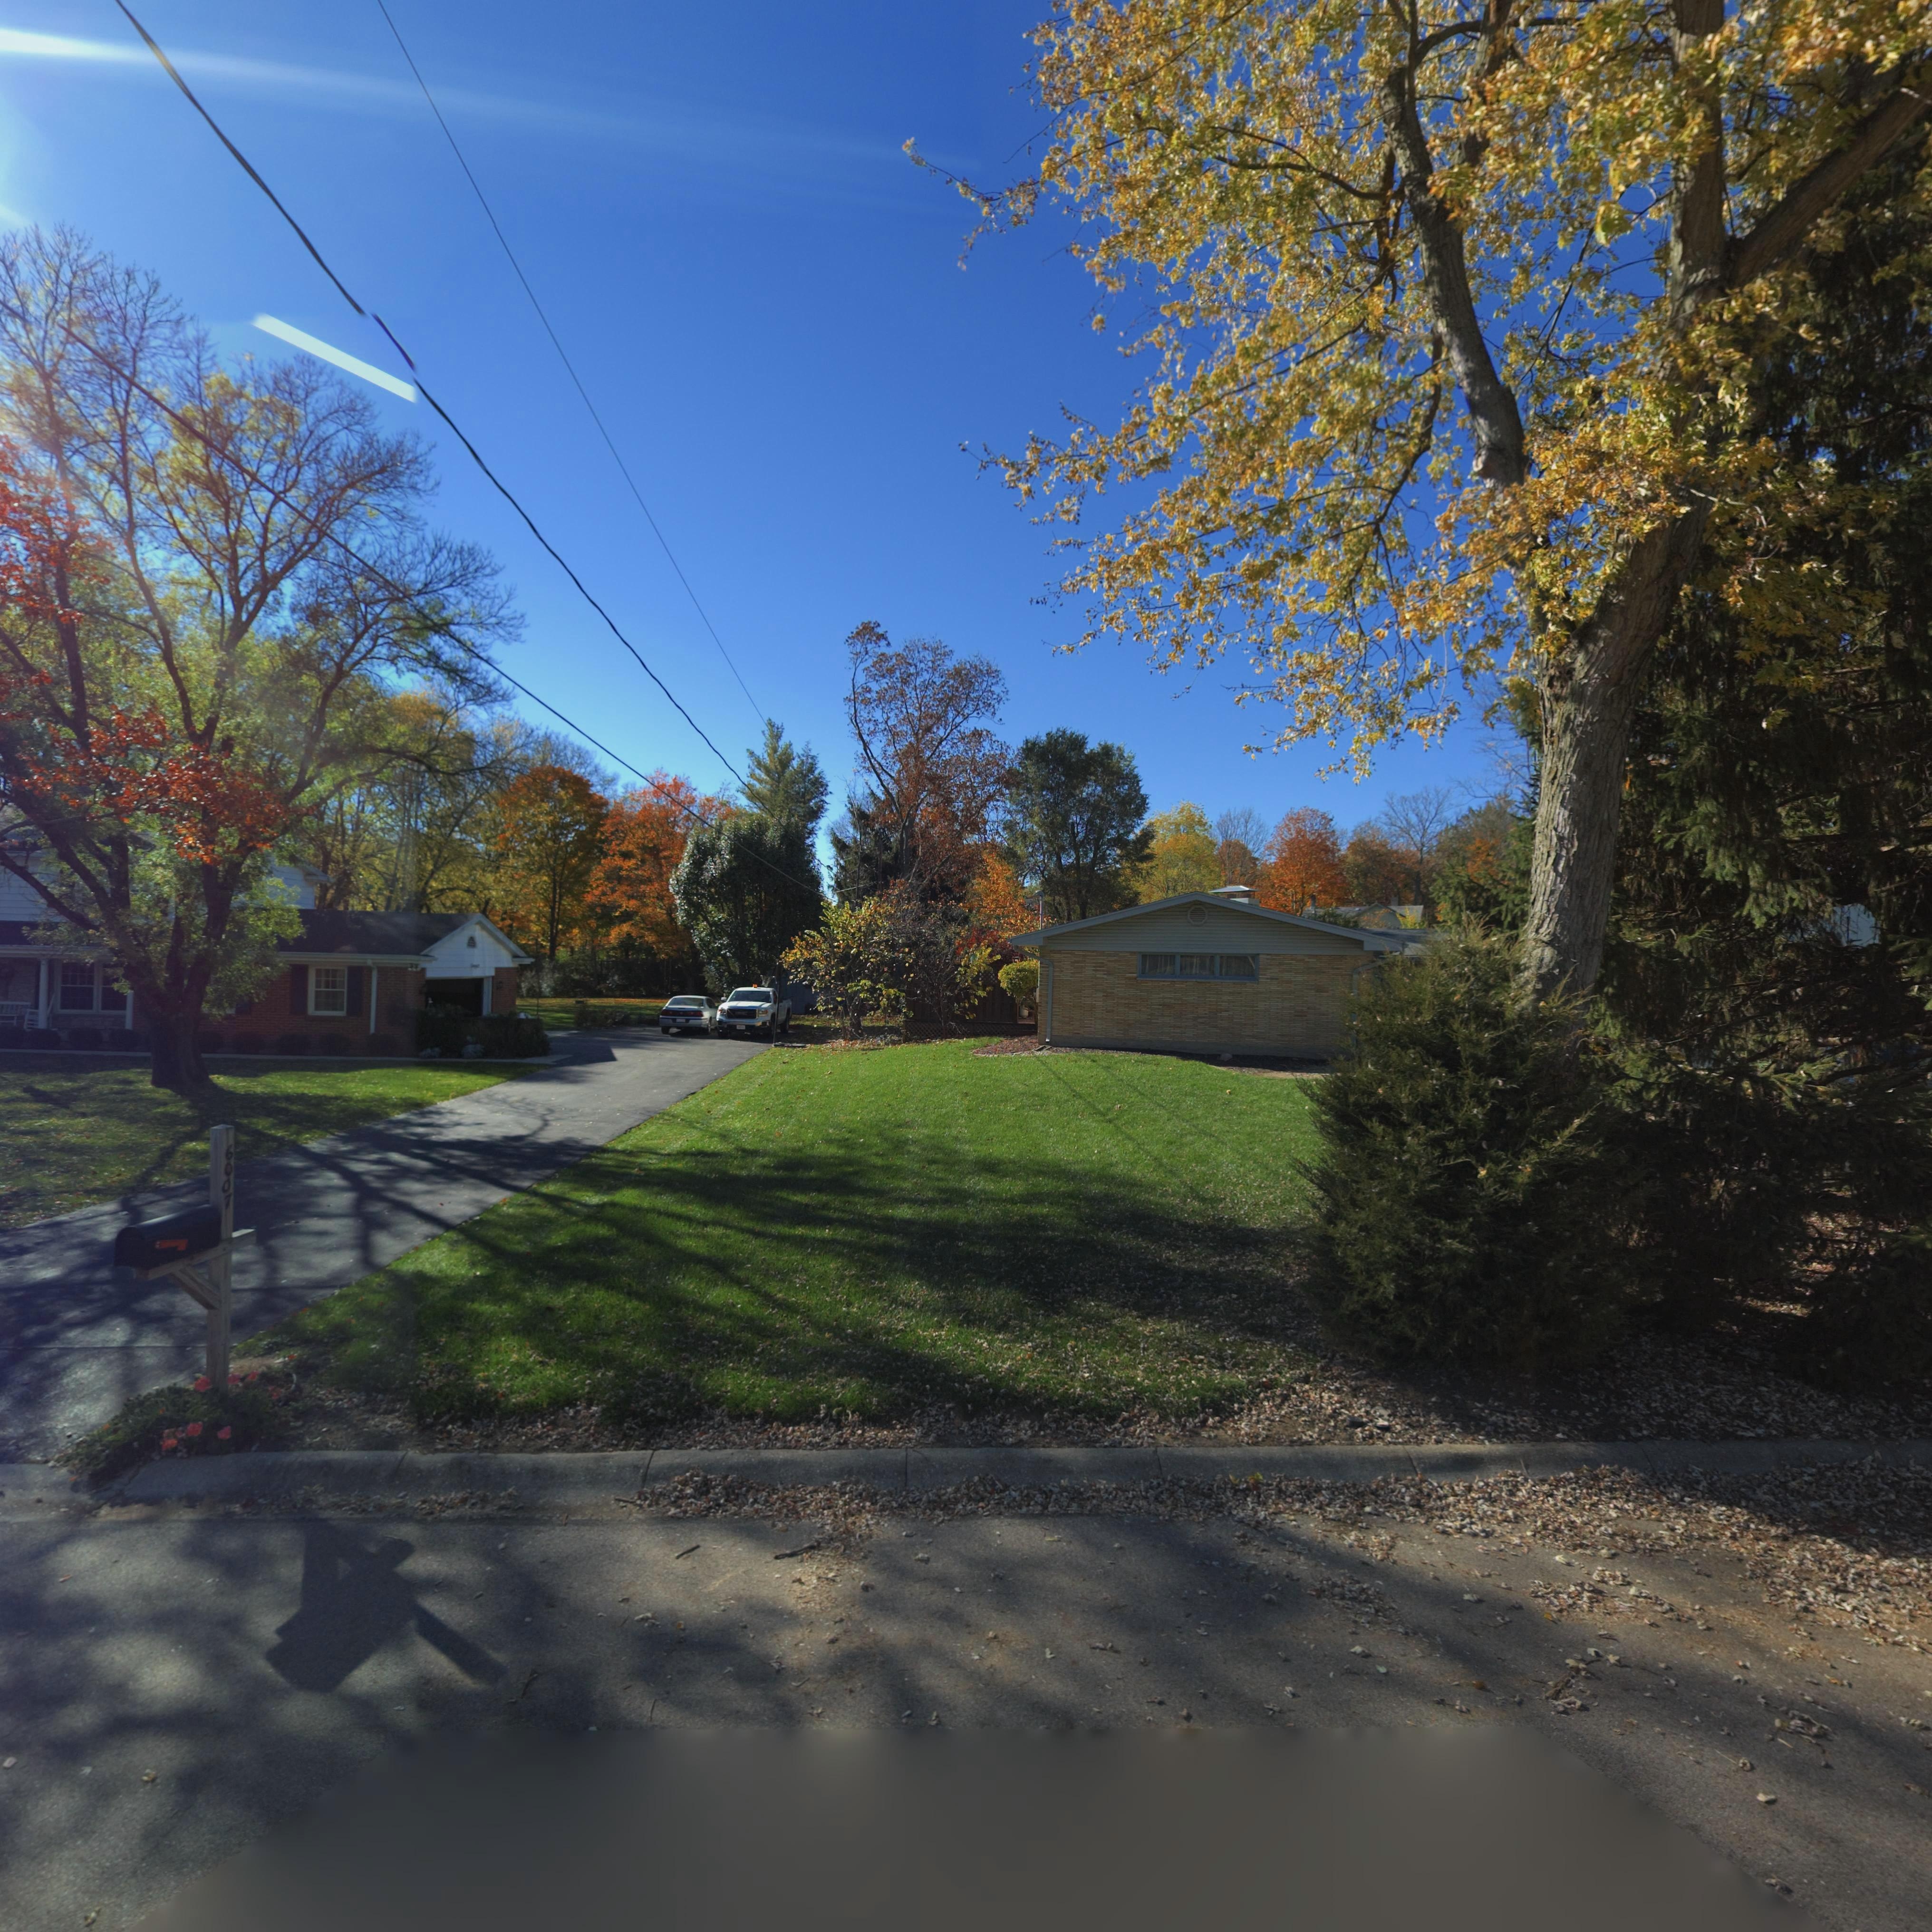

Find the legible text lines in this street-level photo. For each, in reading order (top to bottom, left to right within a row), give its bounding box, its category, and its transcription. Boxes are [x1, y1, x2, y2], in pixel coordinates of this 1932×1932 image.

[219, 1142, 235, 1212] StreetNumber: 6007